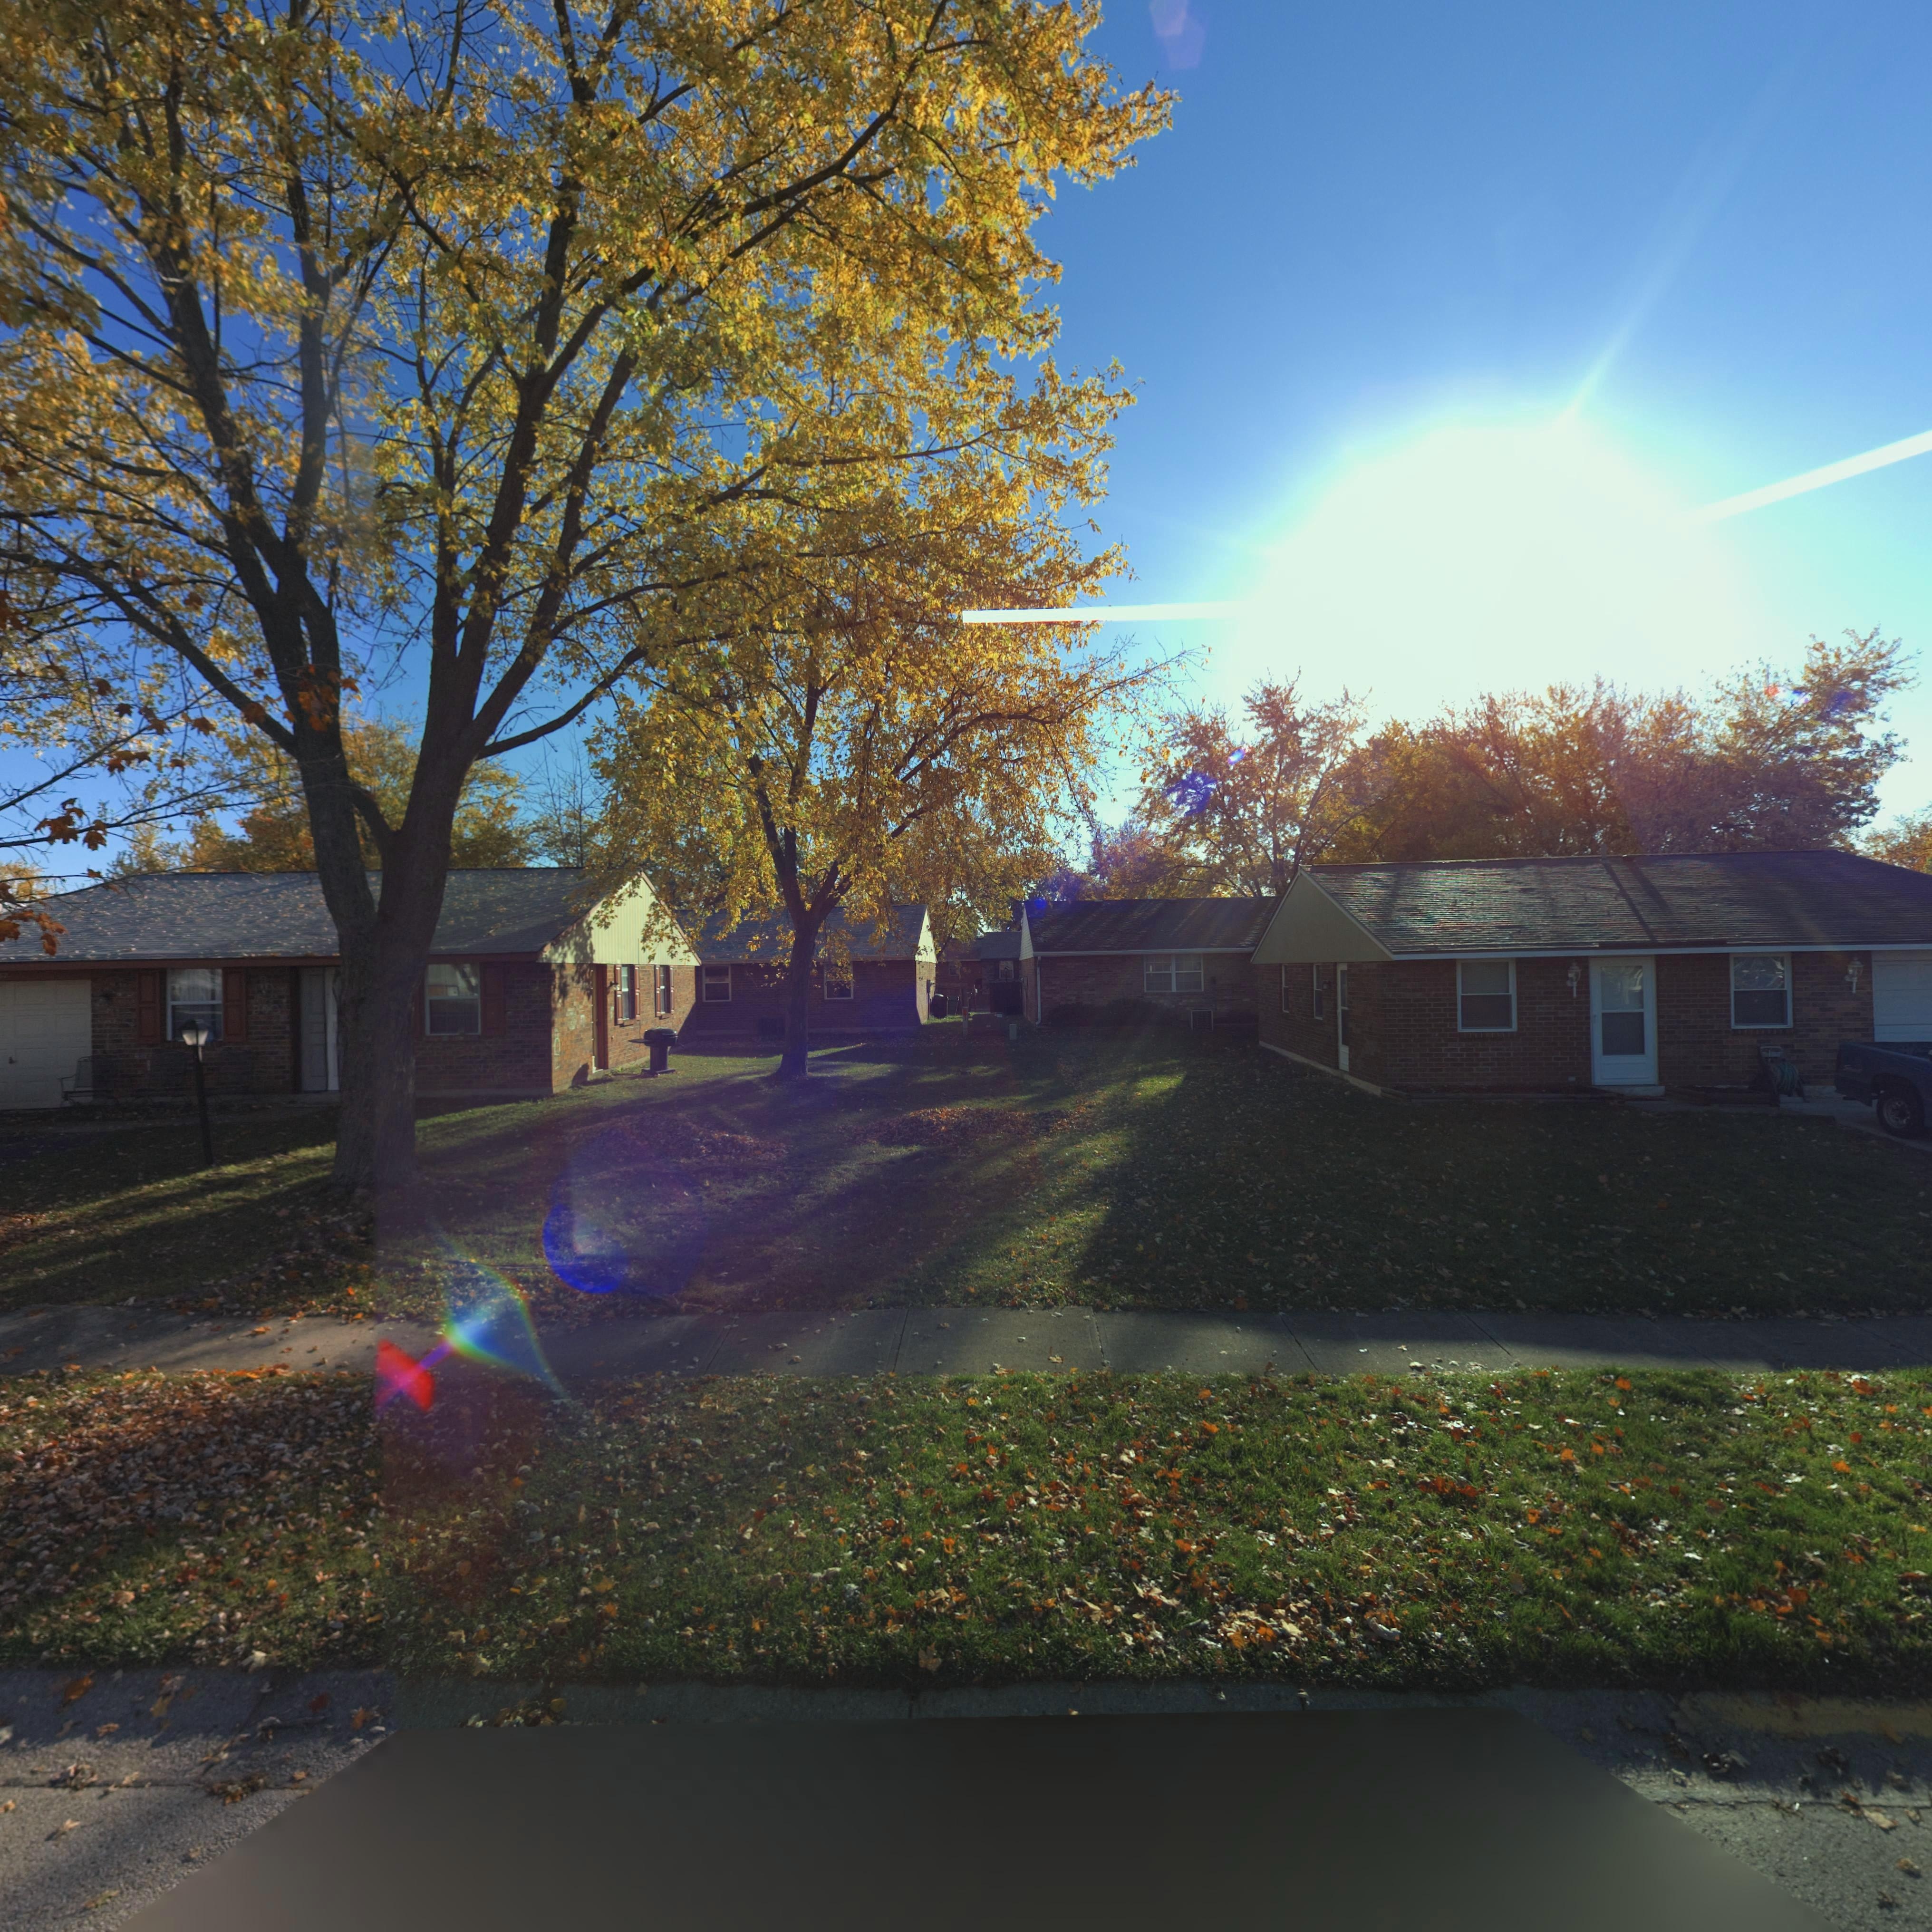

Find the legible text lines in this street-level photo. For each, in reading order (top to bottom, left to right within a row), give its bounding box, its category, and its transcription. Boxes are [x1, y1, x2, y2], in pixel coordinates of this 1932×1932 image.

[2, 972, 9, 979] StreetNumber: 2